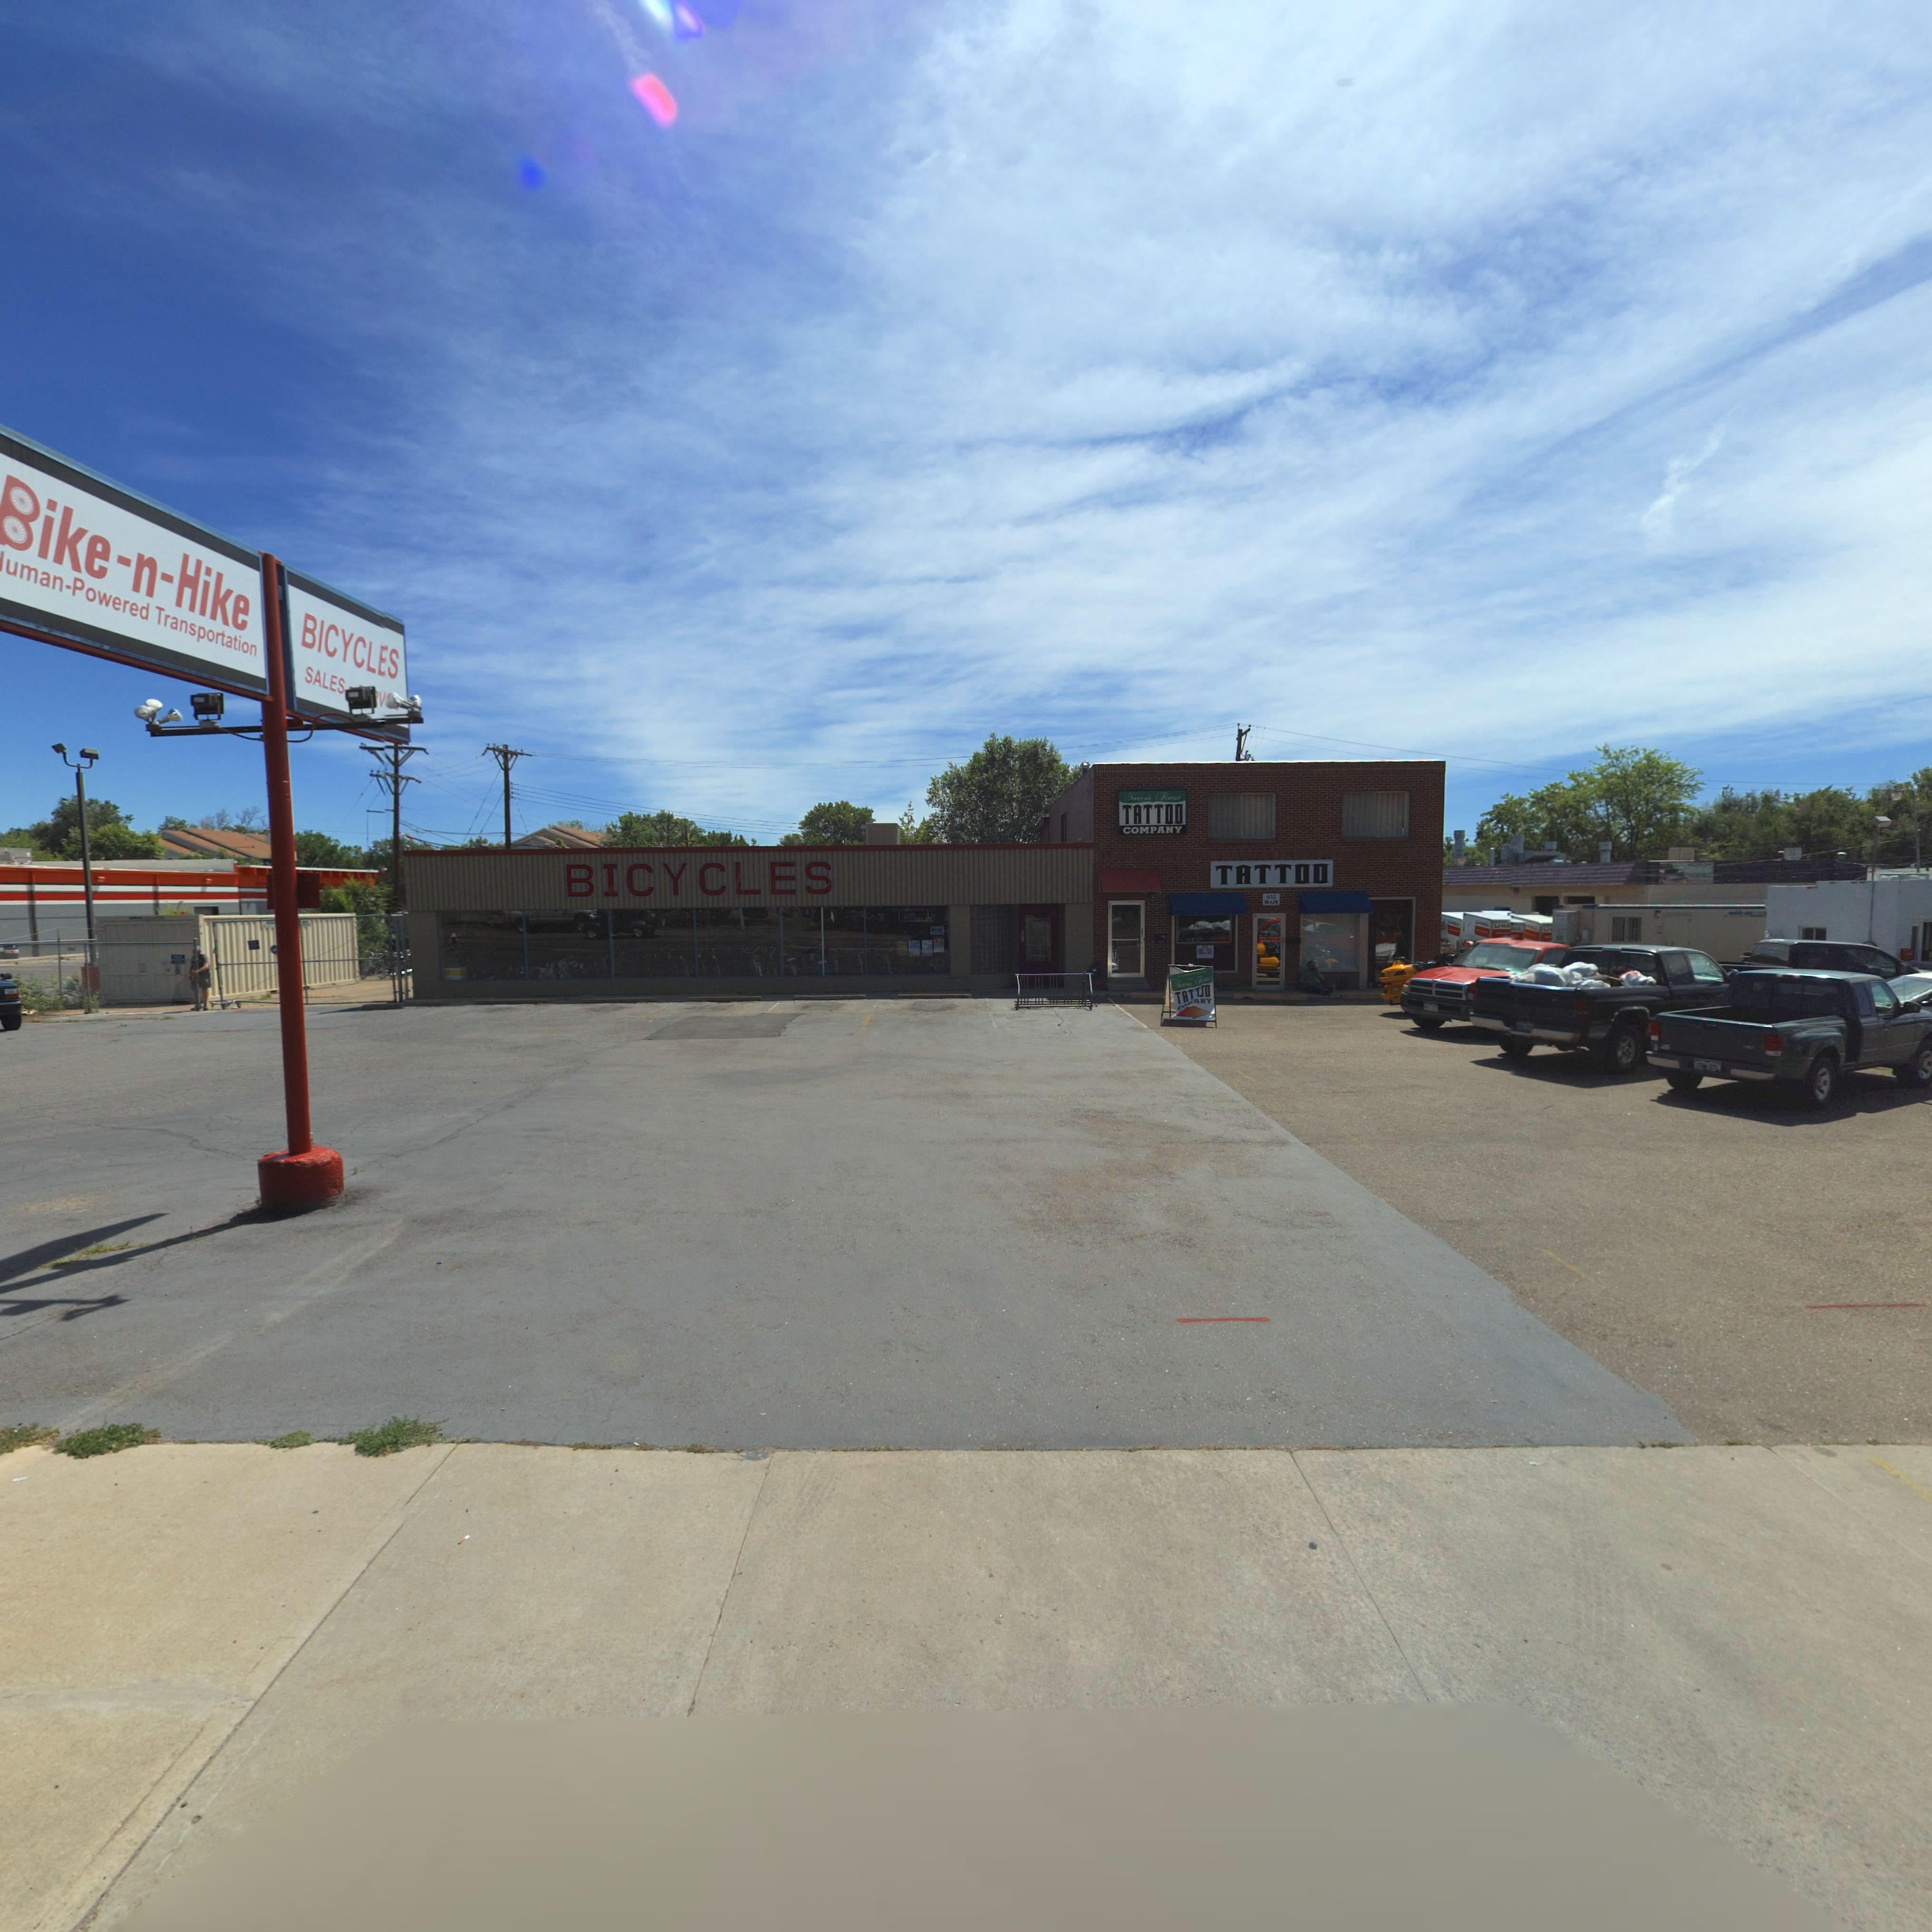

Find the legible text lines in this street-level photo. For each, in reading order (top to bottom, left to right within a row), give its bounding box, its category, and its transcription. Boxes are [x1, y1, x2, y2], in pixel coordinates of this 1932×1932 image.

[36, 496, 251, 633] BusinessName: ike-n-Hike
[1128, 792, 1181, 800] BusinessName: ****** Fin**s*
[1121, 803, 1184, 824] BusinessName: TATTOO
[1122, 826, 1183, 834] BusinessName: COMPANY
[1214, 862, 1330, 885] BusinessName: TATTOO
[1266, 894, 1276, 899] StreetNumber: 1132
[1264, 899, 1278, 904] StreetName: MAIN